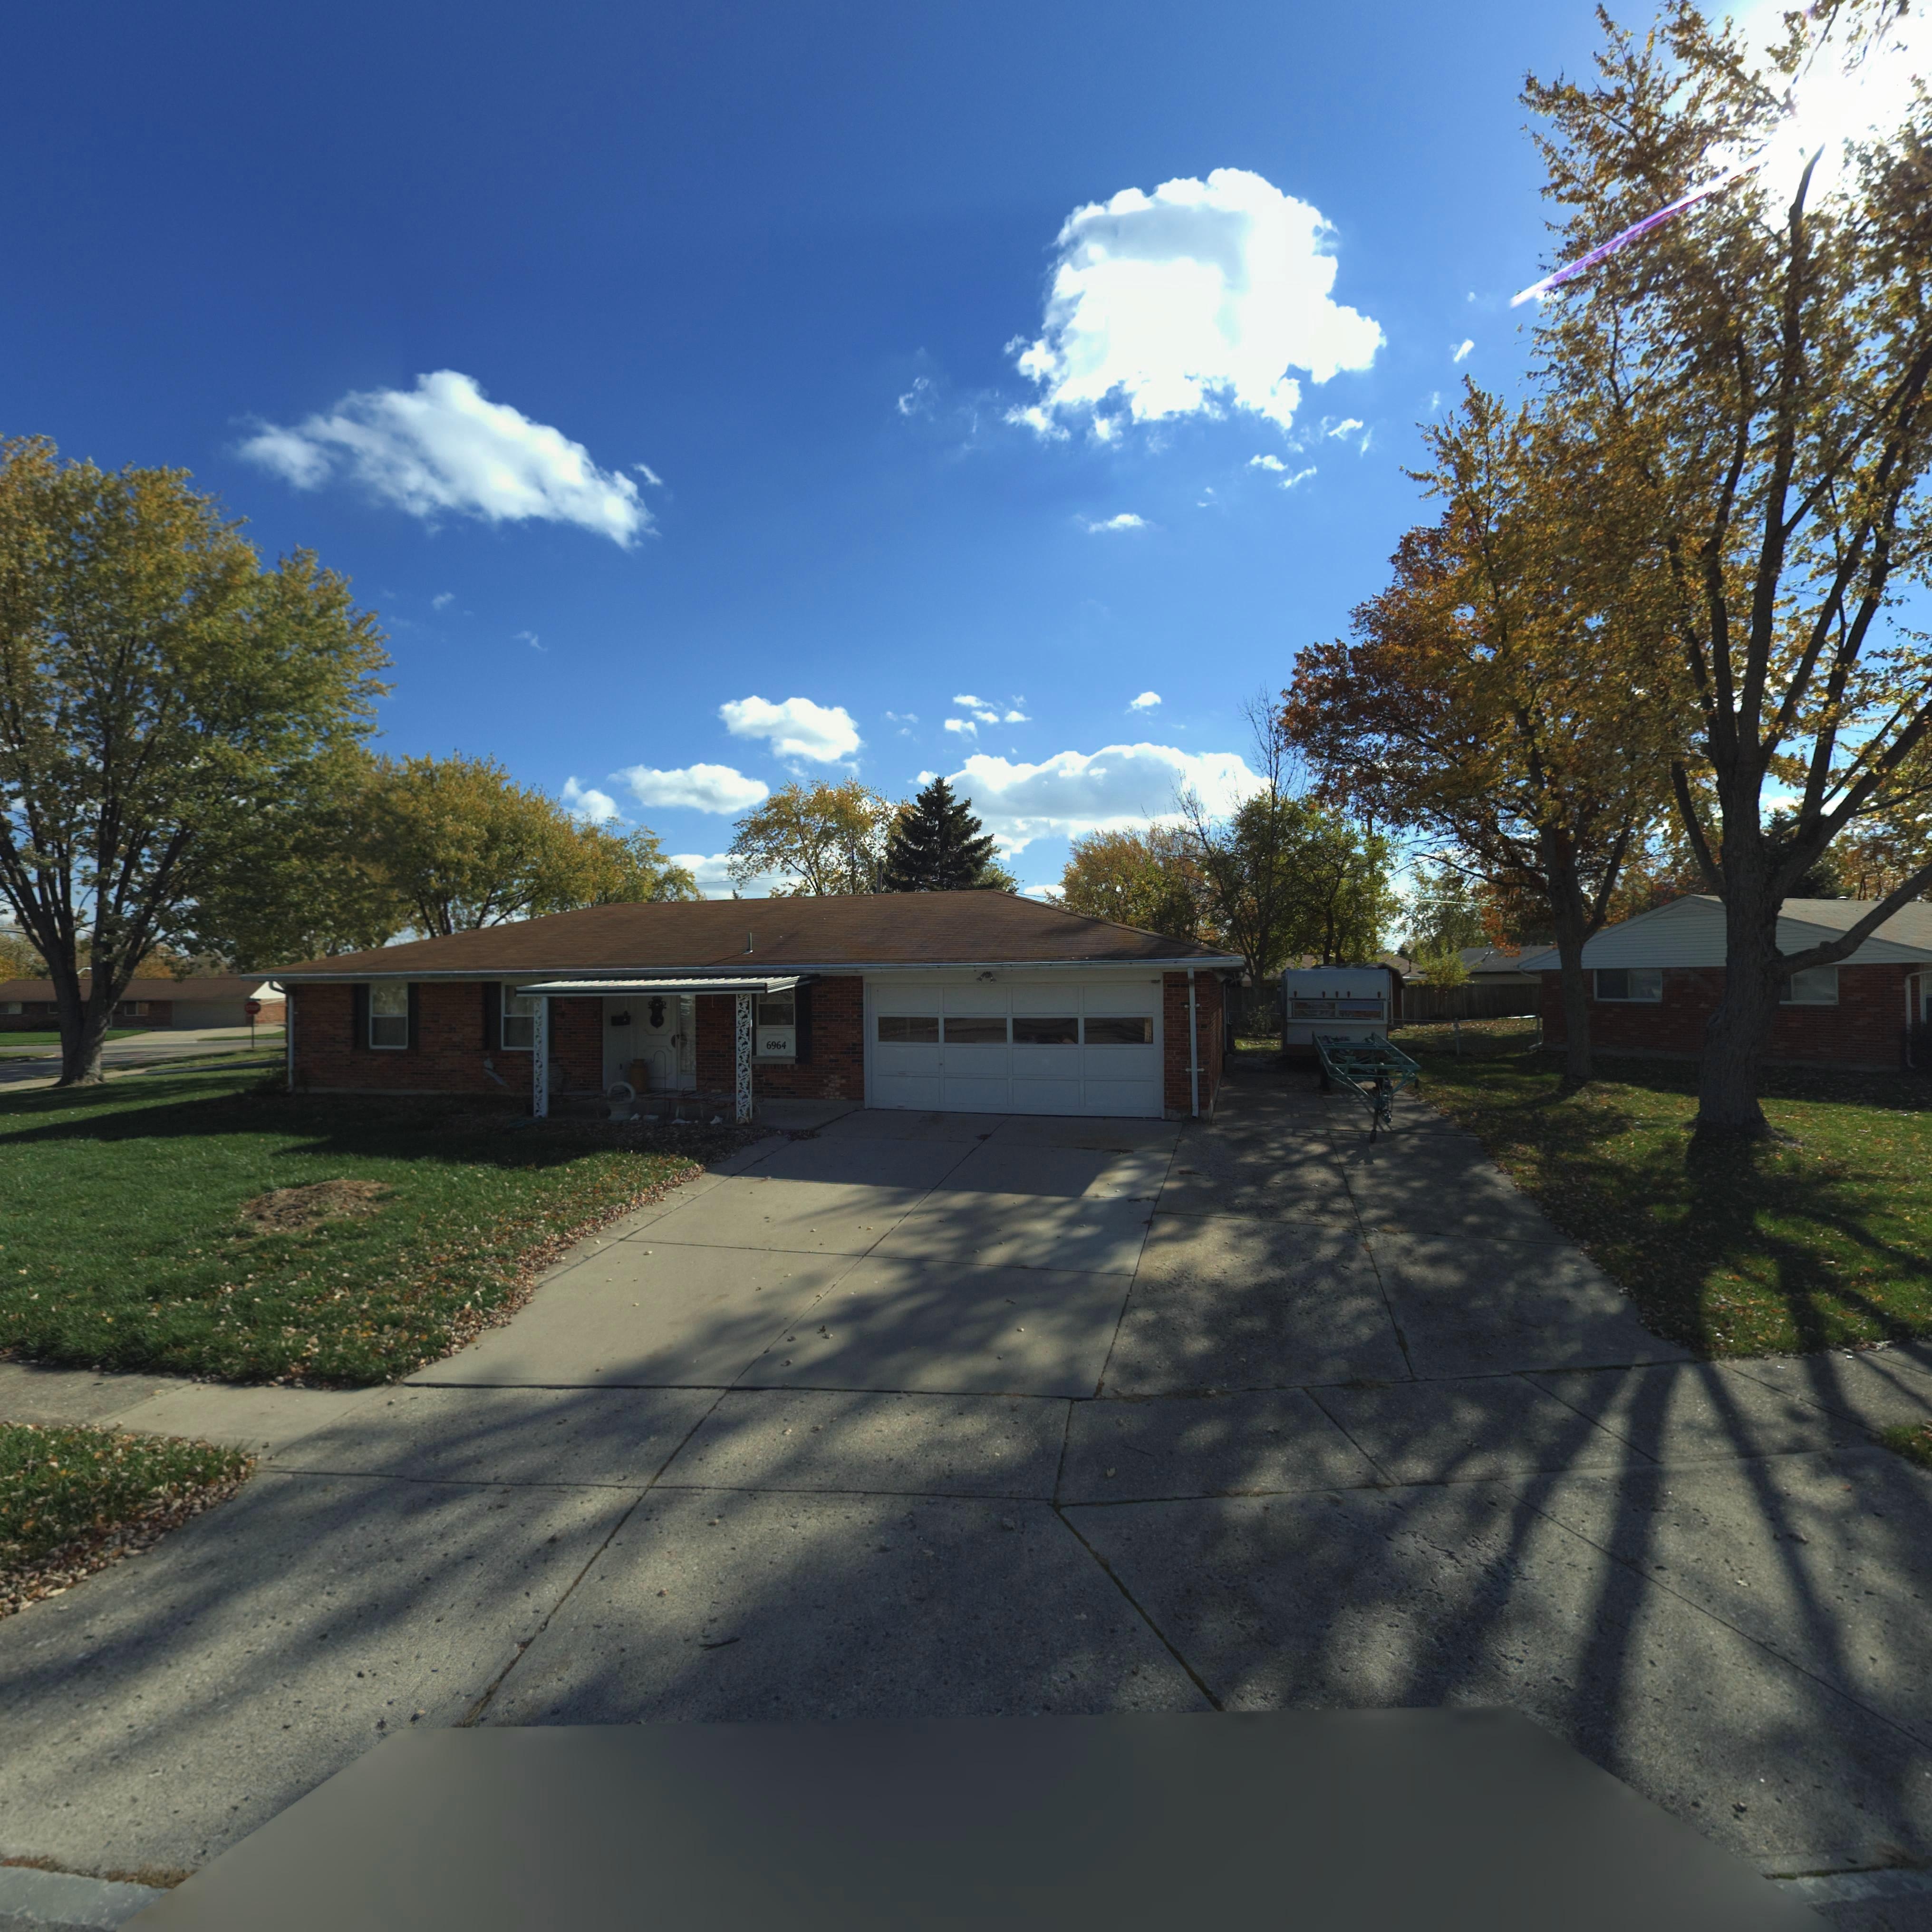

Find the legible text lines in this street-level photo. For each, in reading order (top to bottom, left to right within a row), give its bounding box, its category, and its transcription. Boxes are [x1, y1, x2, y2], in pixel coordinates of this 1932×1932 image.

[765, 1040, 788, 1051] StreetNumber: 6964